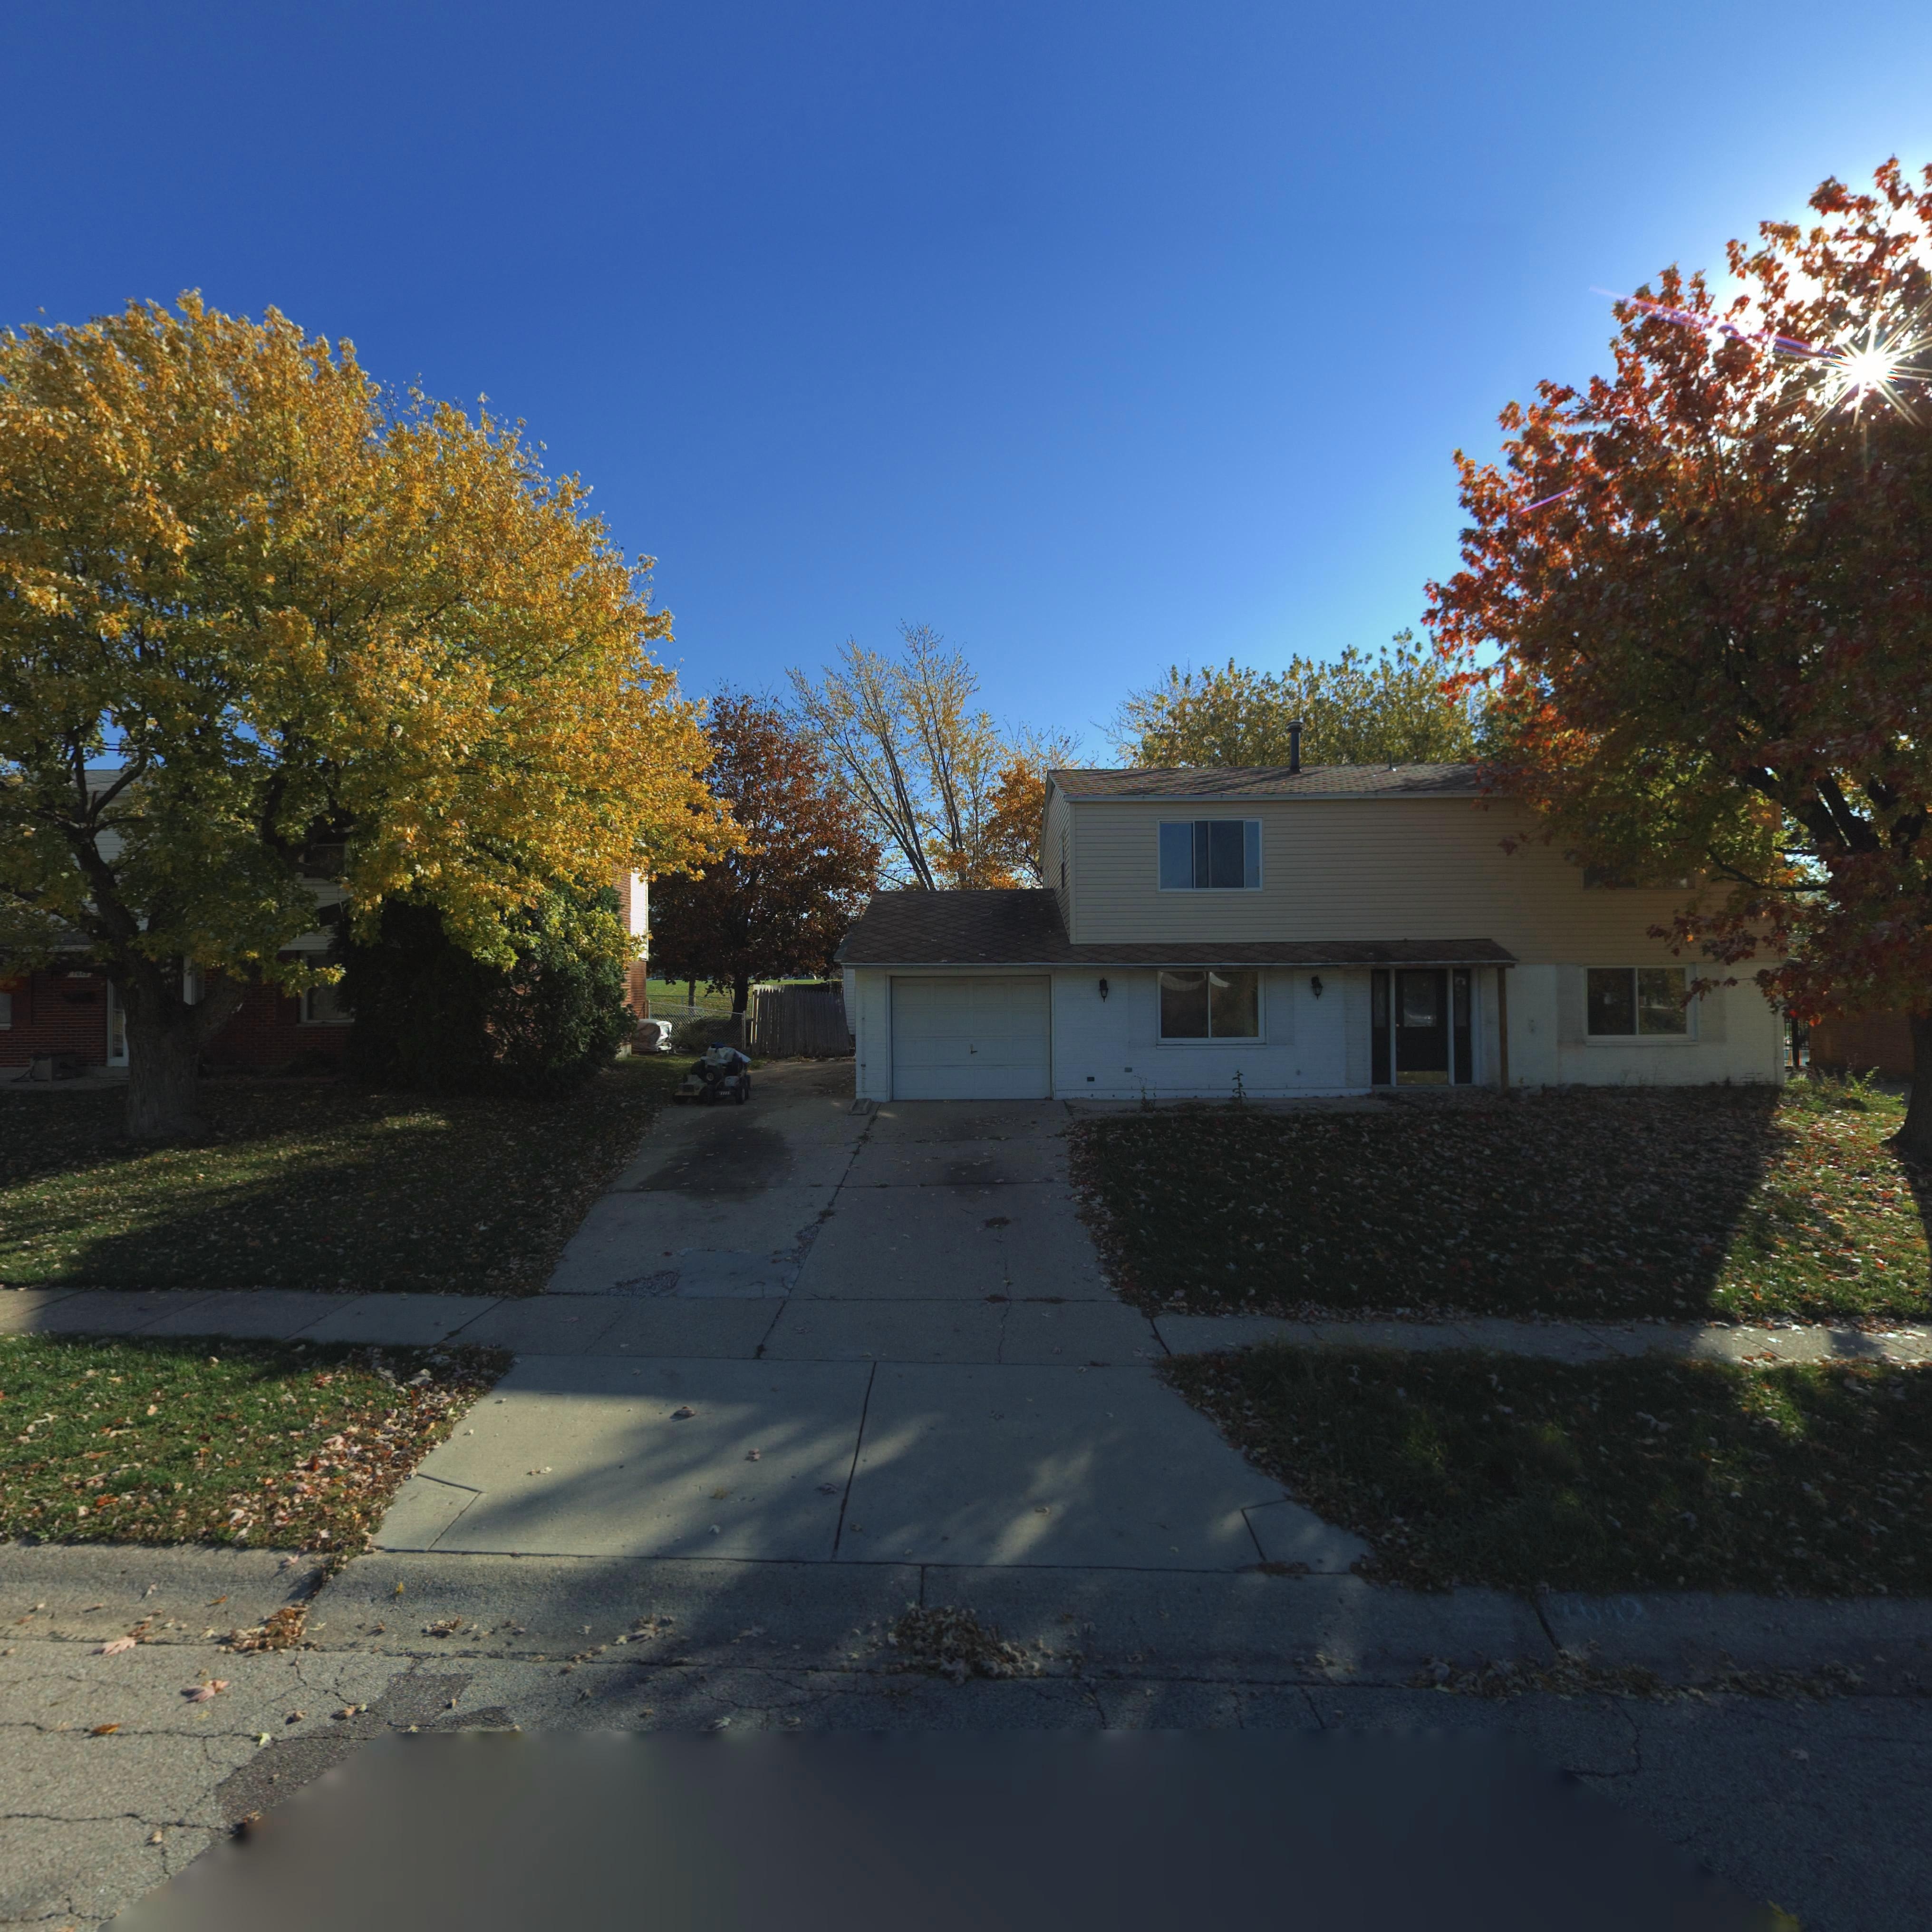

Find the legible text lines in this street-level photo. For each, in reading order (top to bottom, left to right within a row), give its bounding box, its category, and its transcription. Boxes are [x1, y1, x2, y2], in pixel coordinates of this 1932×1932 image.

[72, 970, 81, 977] StreetNumber: 76
[1548, 1593, 1654, 1630] StreetNumber: 7642